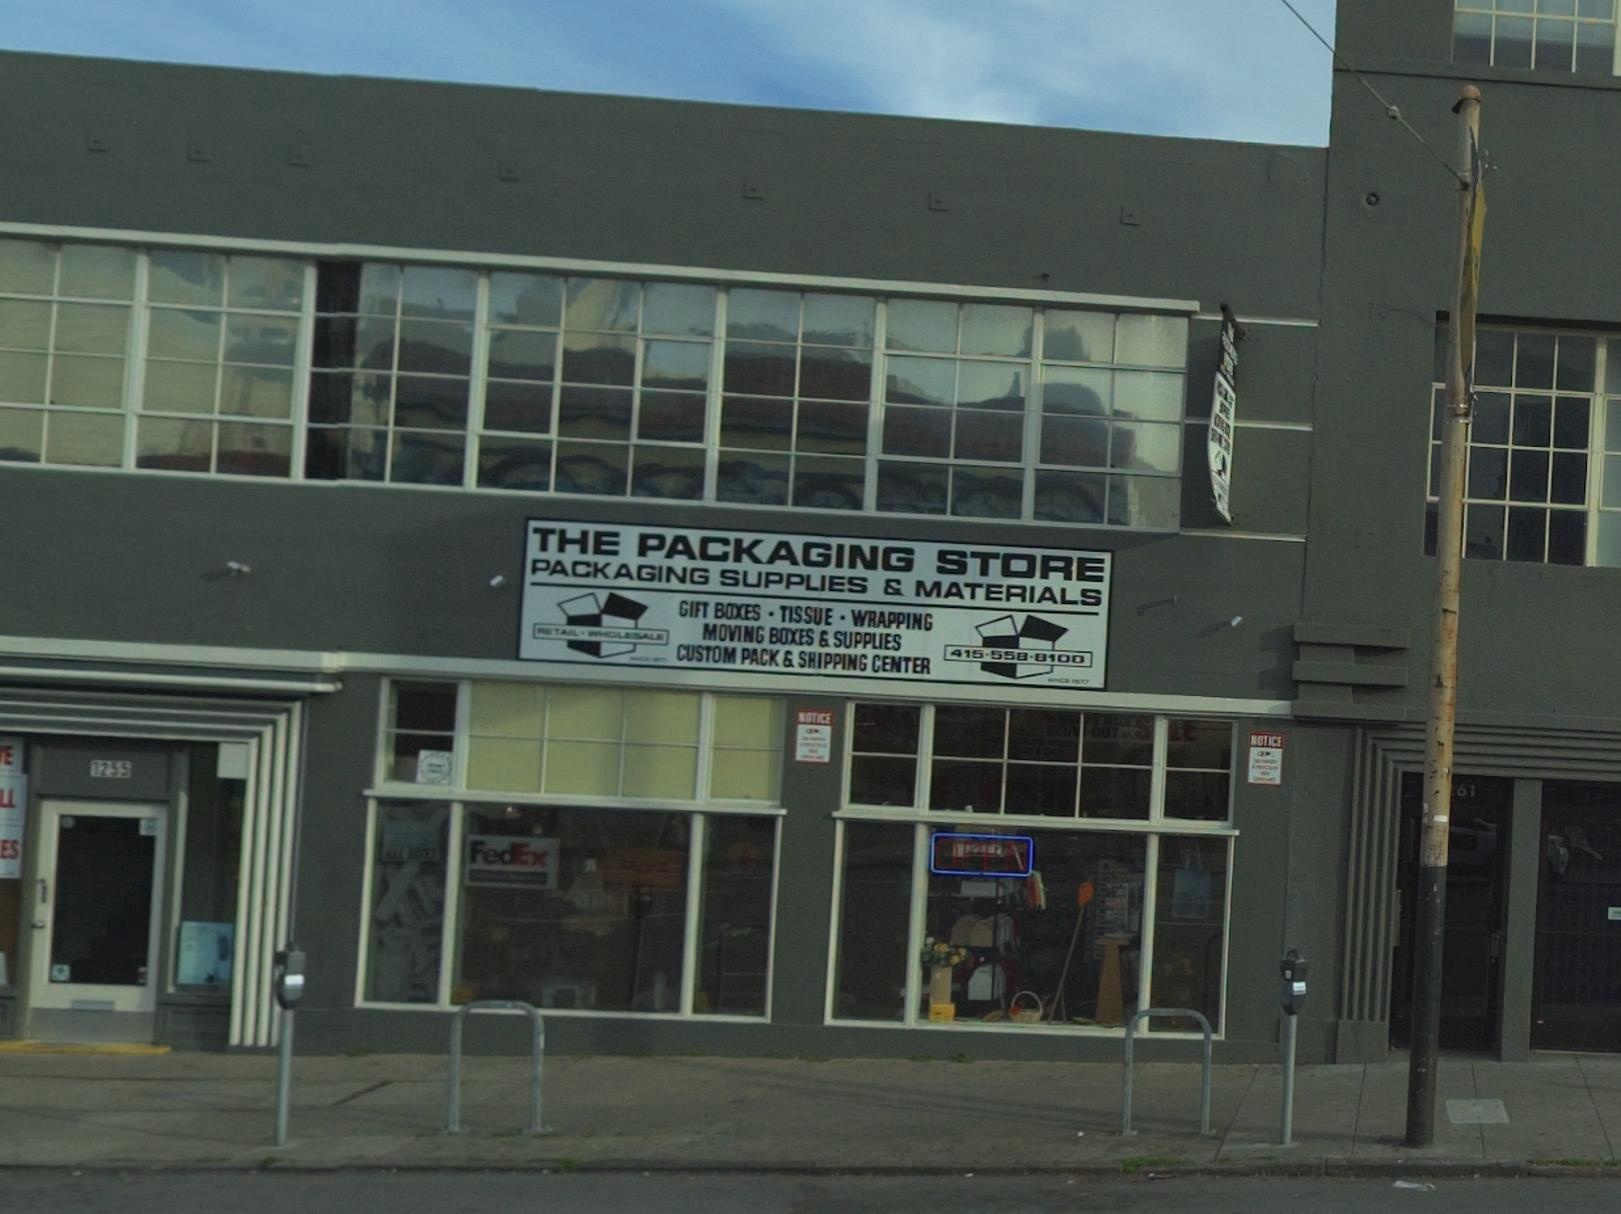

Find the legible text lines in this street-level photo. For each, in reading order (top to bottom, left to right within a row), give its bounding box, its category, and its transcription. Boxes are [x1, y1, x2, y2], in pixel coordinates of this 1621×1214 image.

[527, 522, 1110, 586] BusinessName: THE PACKAGING STORE
[527, 553, 1109, 611] None: PACKAGING SUPPLIES & MATERIALS
[674, 595, 937, 634] None: GIFT BOXES * TISSUE * WRAPPING
[534, 623, 668, 644] None: RETAIL * WHOLESALE
[699, 619, 905, 654] None: MOVING BOXES & SUPPLIES
[674, 640, 934, 677] None: CUSTOM PACK & SHIPPING CENTER
[948, 645, 1087, 666] None: 415-558-8100
[796, 709, 834, 726] None: NOTICE
[1089, 723, 1122, 741] None: OUT
[1249, 732, 1285, 750] None: NOTICE
[1, 743, 17, 768] None: E
[88, 757, 135, 779] StreetNumber: 1255
[4, 785, 20, 812] None: L
[1454, 780, 1478, 800] StreetNumber: 61
[0, 836, 23, 862] None: ES
[466, 835, 553, 870] None: FedEx
[932, 834, 1032, 875] None: OPEN